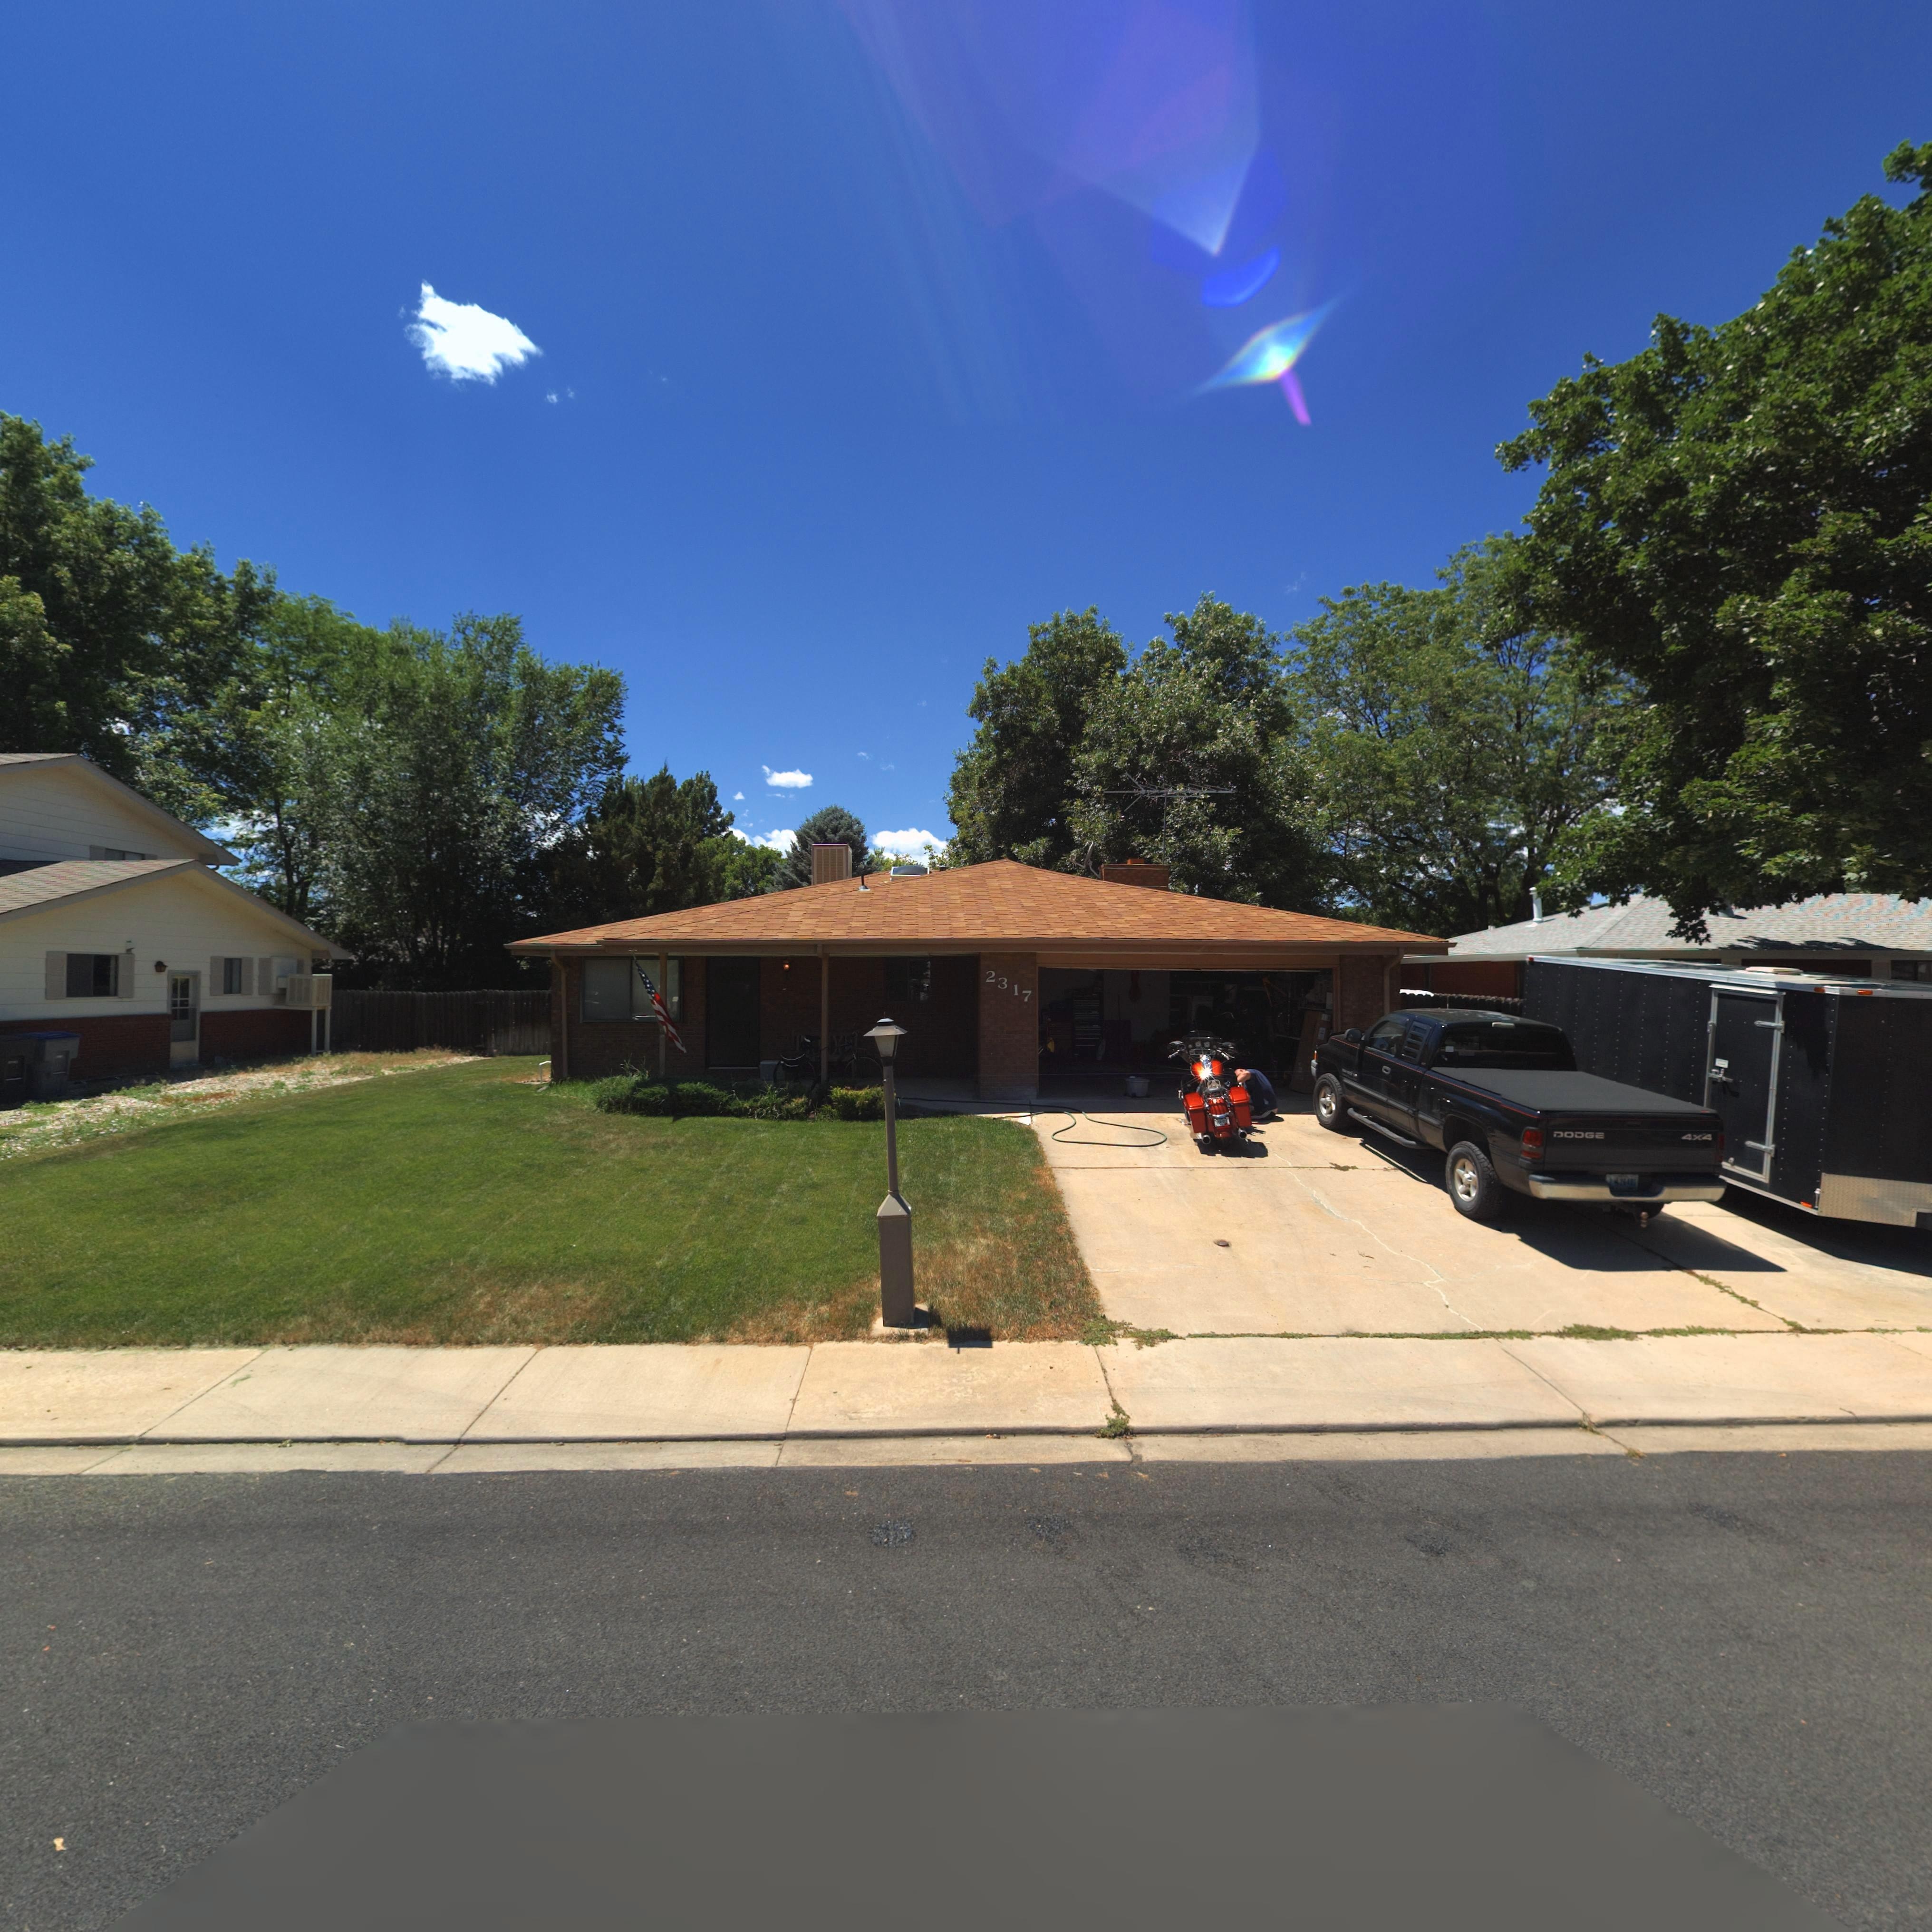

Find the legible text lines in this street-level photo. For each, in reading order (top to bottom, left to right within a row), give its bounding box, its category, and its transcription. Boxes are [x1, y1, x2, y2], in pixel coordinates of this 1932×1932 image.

[985, 970, 1032, 1002] StreetNumber: 2317